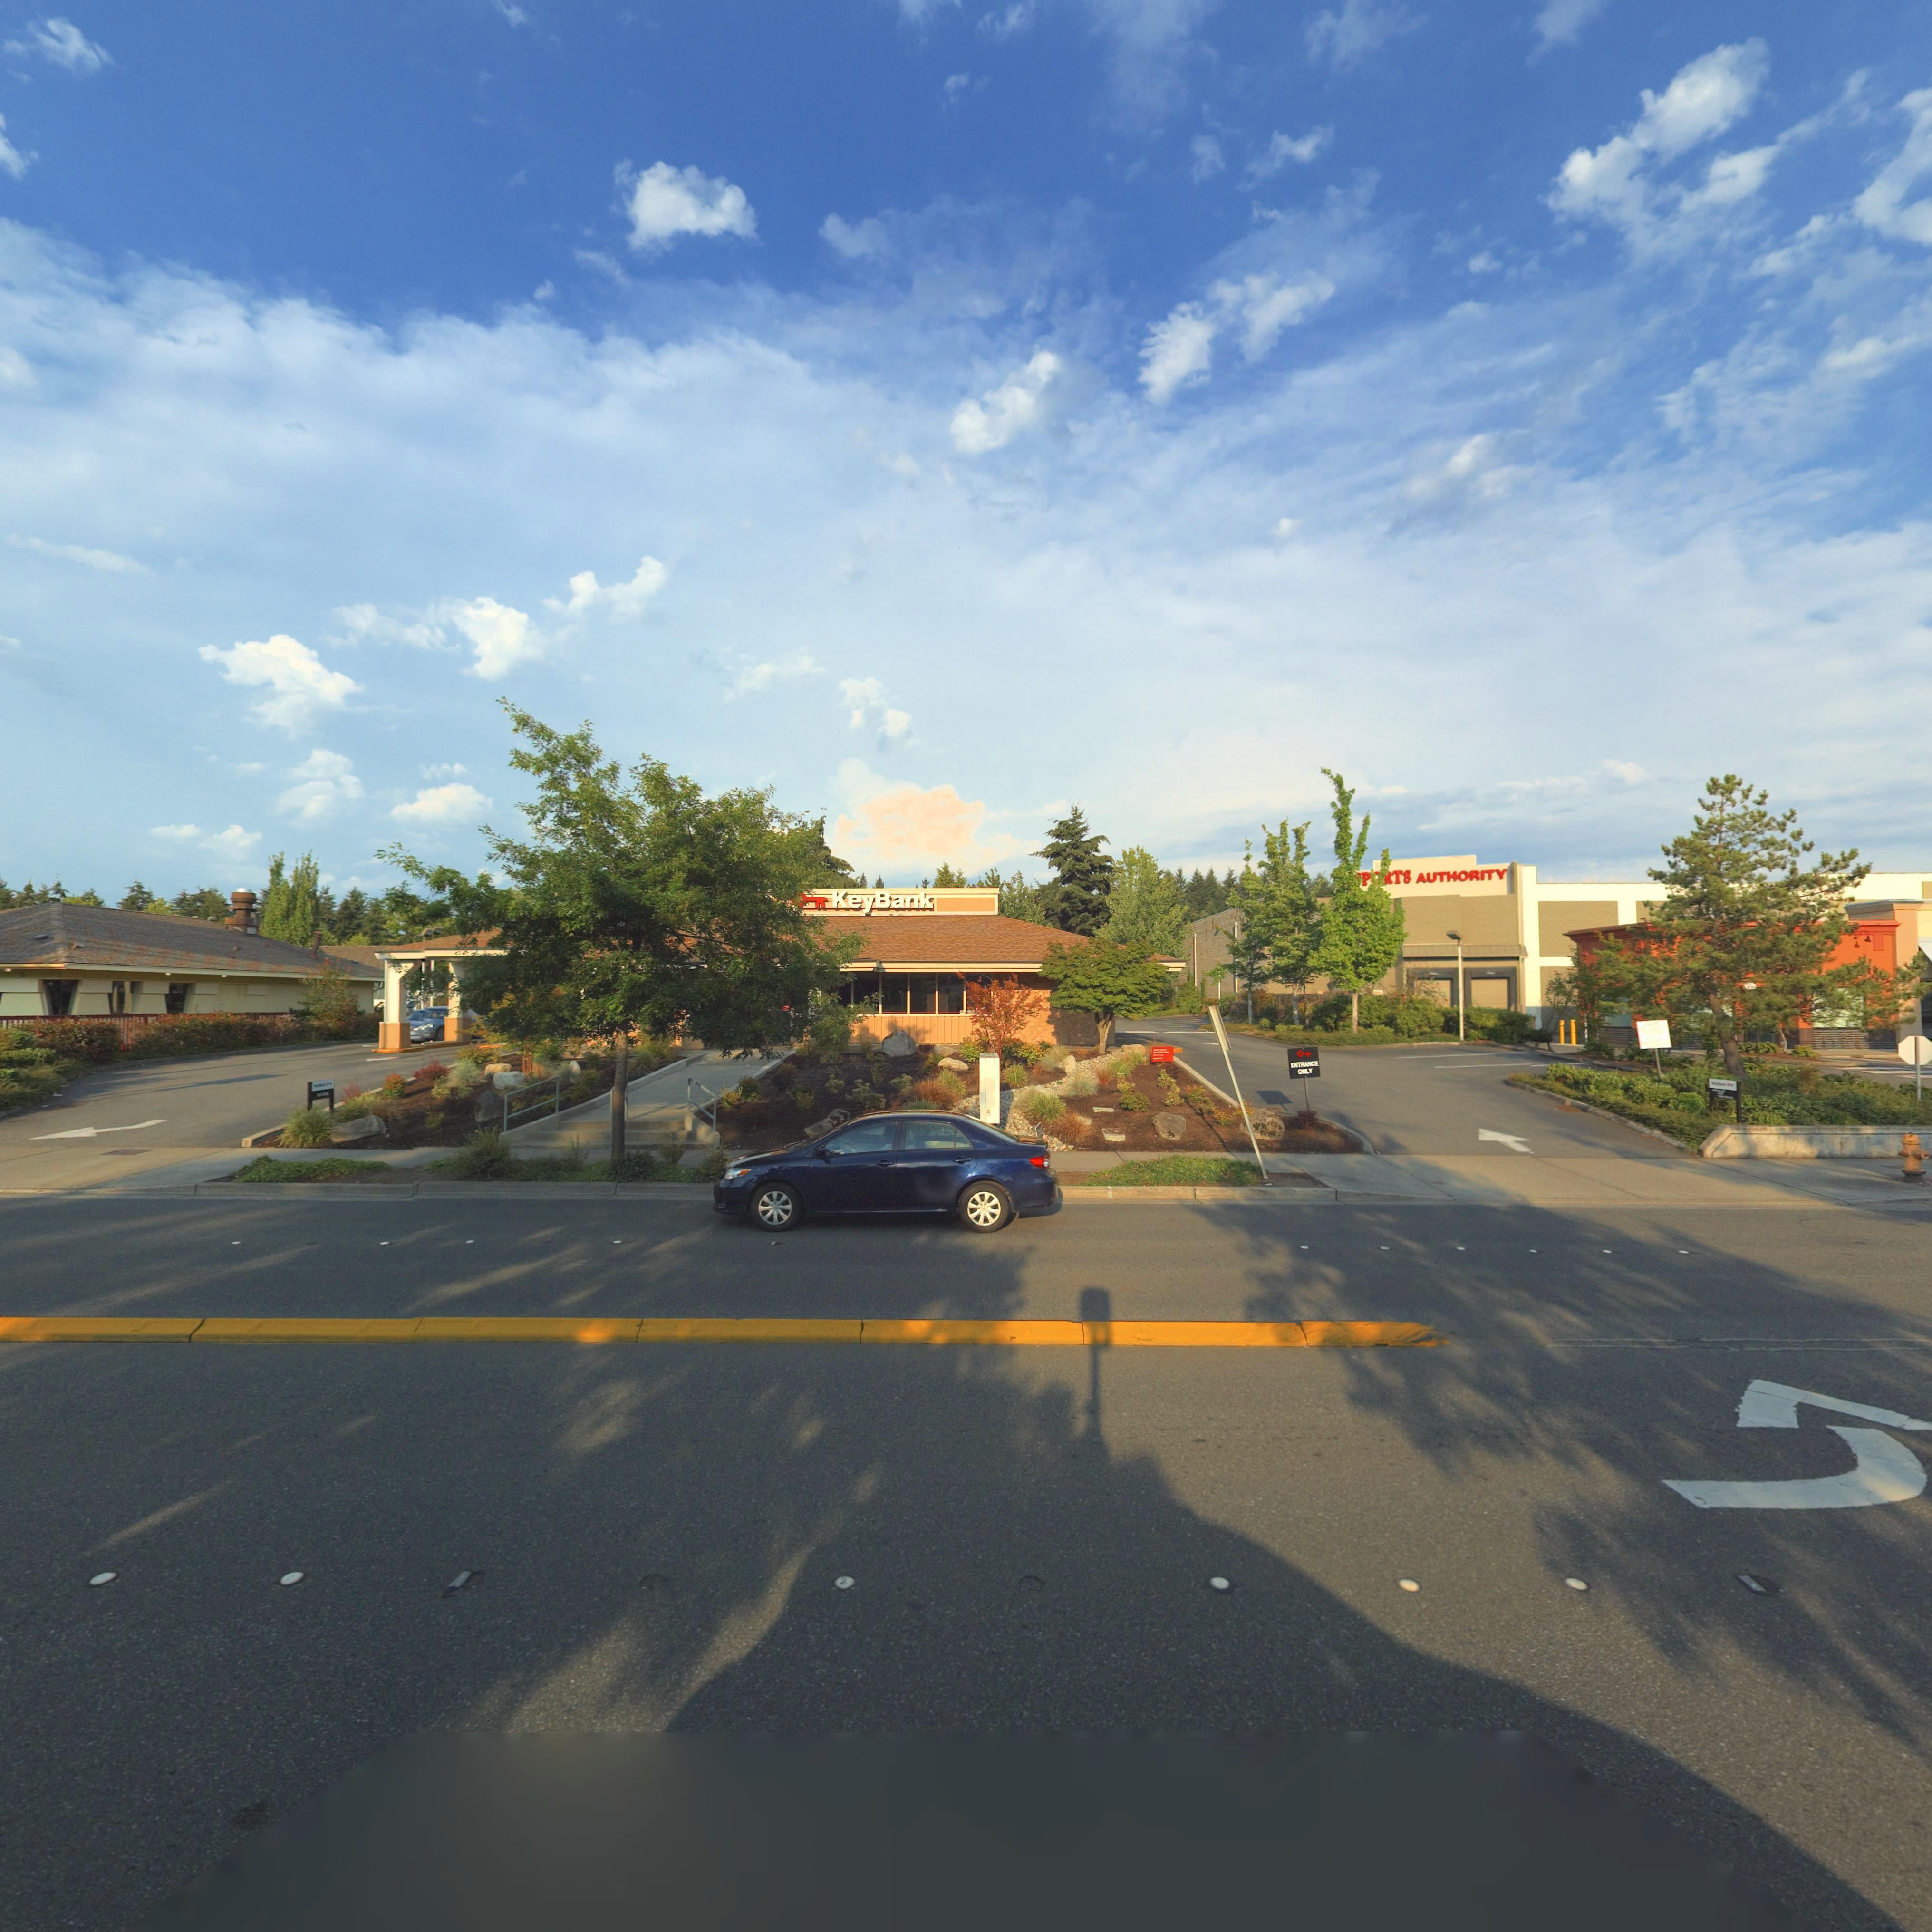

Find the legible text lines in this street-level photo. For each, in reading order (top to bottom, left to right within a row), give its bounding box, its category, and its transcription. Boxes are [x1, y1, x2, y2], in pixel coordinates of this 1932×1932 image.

[1391, 869, 1412, 884] BusinessName: TS
[1415, 868, 1508, 883] BusinessName: AUTHORITY
[832, 889, 935, 915] BusinessName: KeyBank